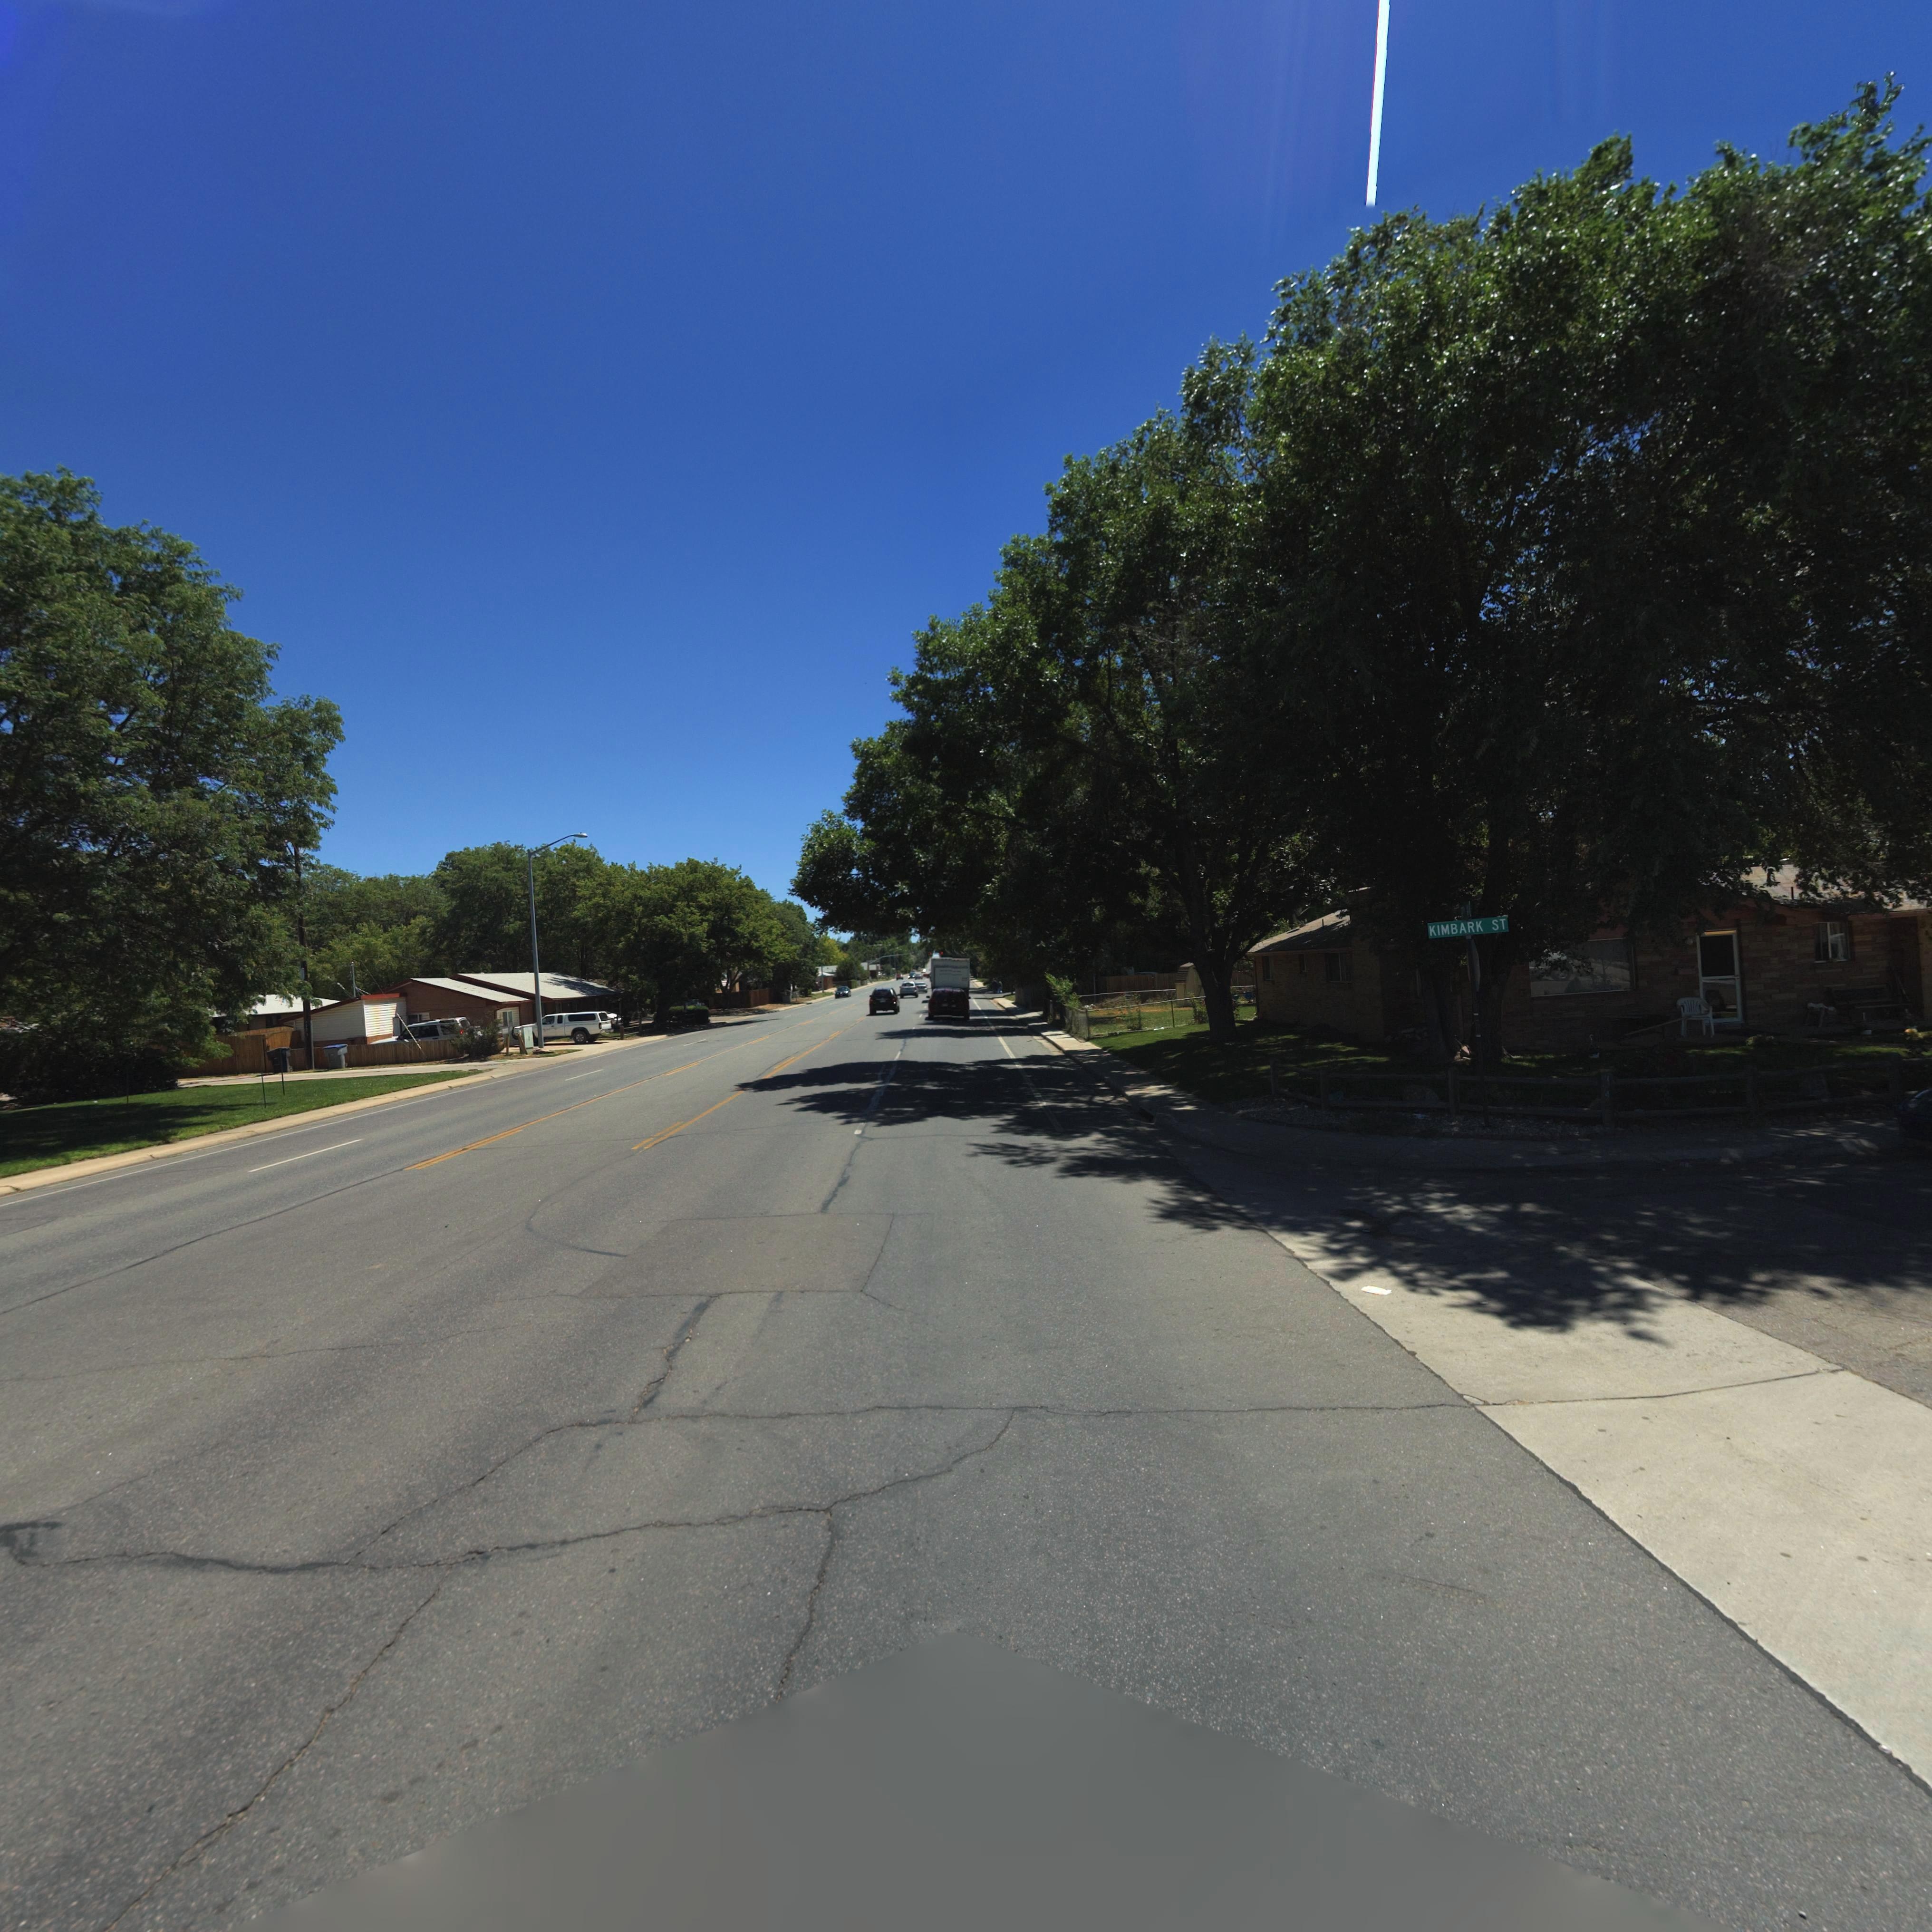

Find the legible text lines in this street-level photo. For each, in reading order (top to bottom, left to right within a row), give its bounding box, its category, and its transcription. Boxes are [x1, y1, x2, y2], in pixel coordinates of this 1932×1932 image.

[1429, 918, 1506, 937] StreetName: KIMBARK ST